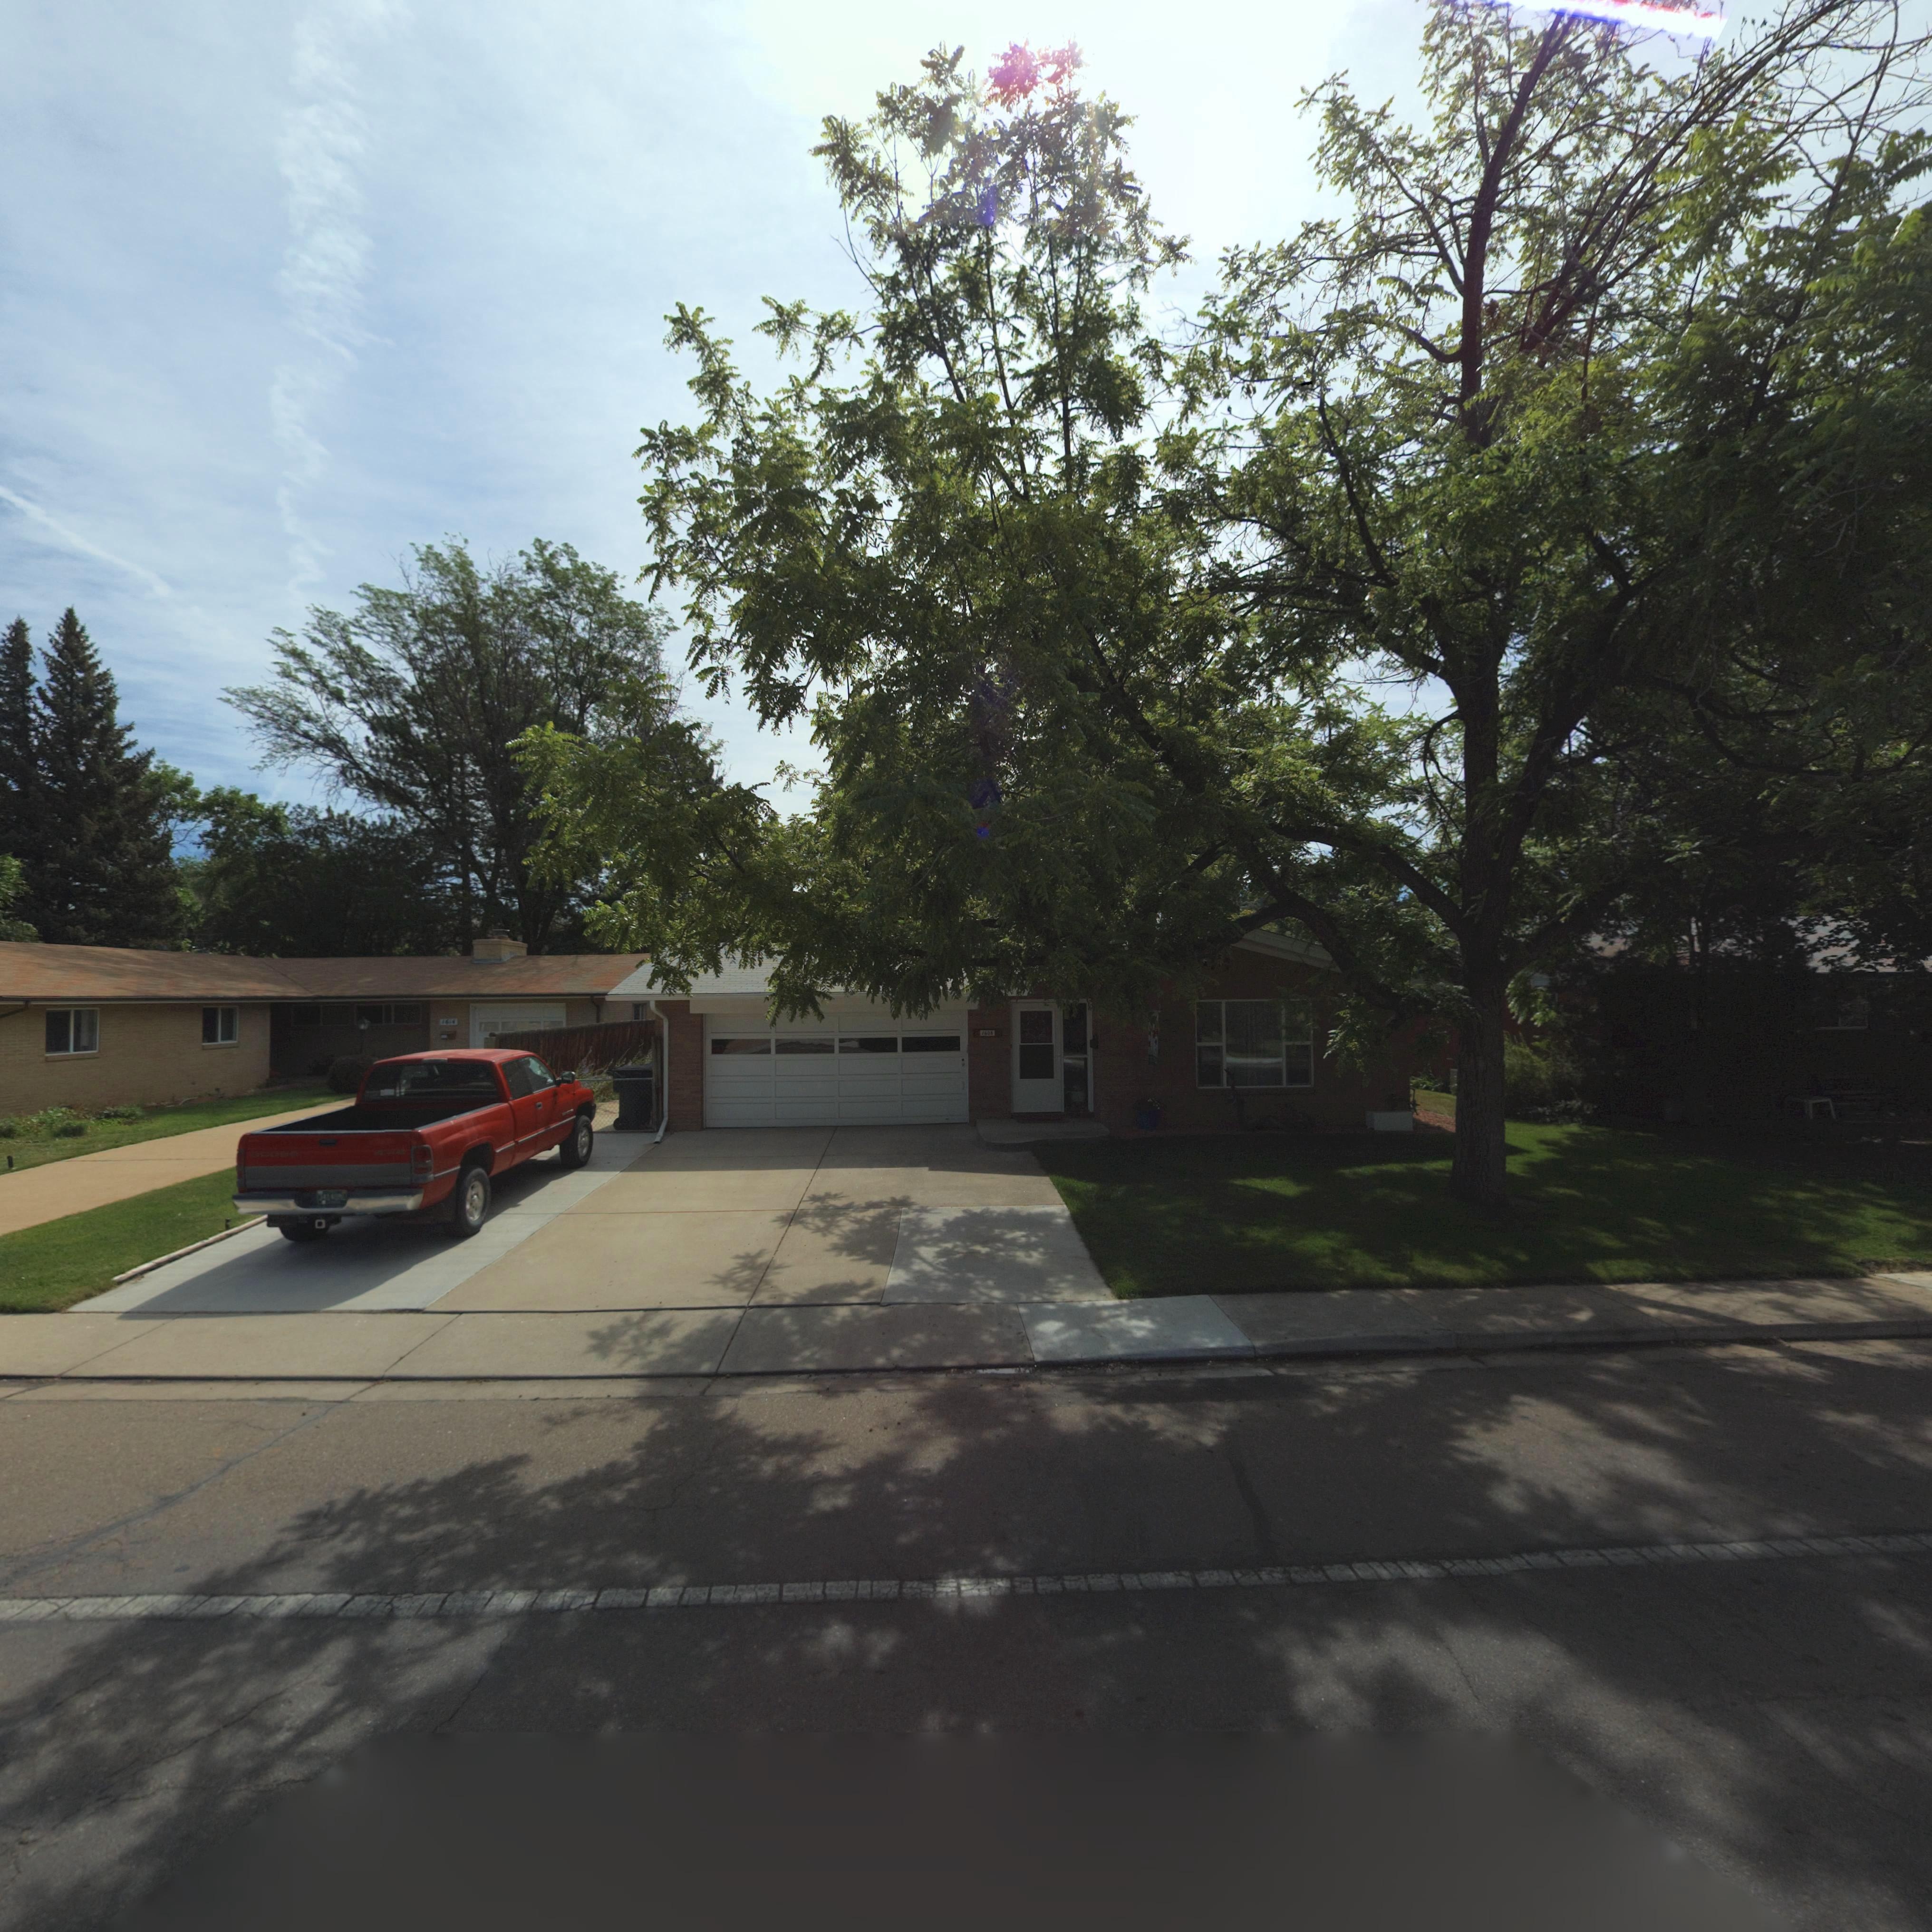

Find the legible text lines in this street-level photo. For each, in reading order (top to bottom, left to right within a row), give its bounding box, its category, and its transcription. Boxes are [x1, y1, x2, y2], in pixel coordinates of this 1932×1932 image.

[442, 1018, 455, 1024] StreetNumber: 1614
[981, 1030, 993, 1035] StreetNumber: 1604